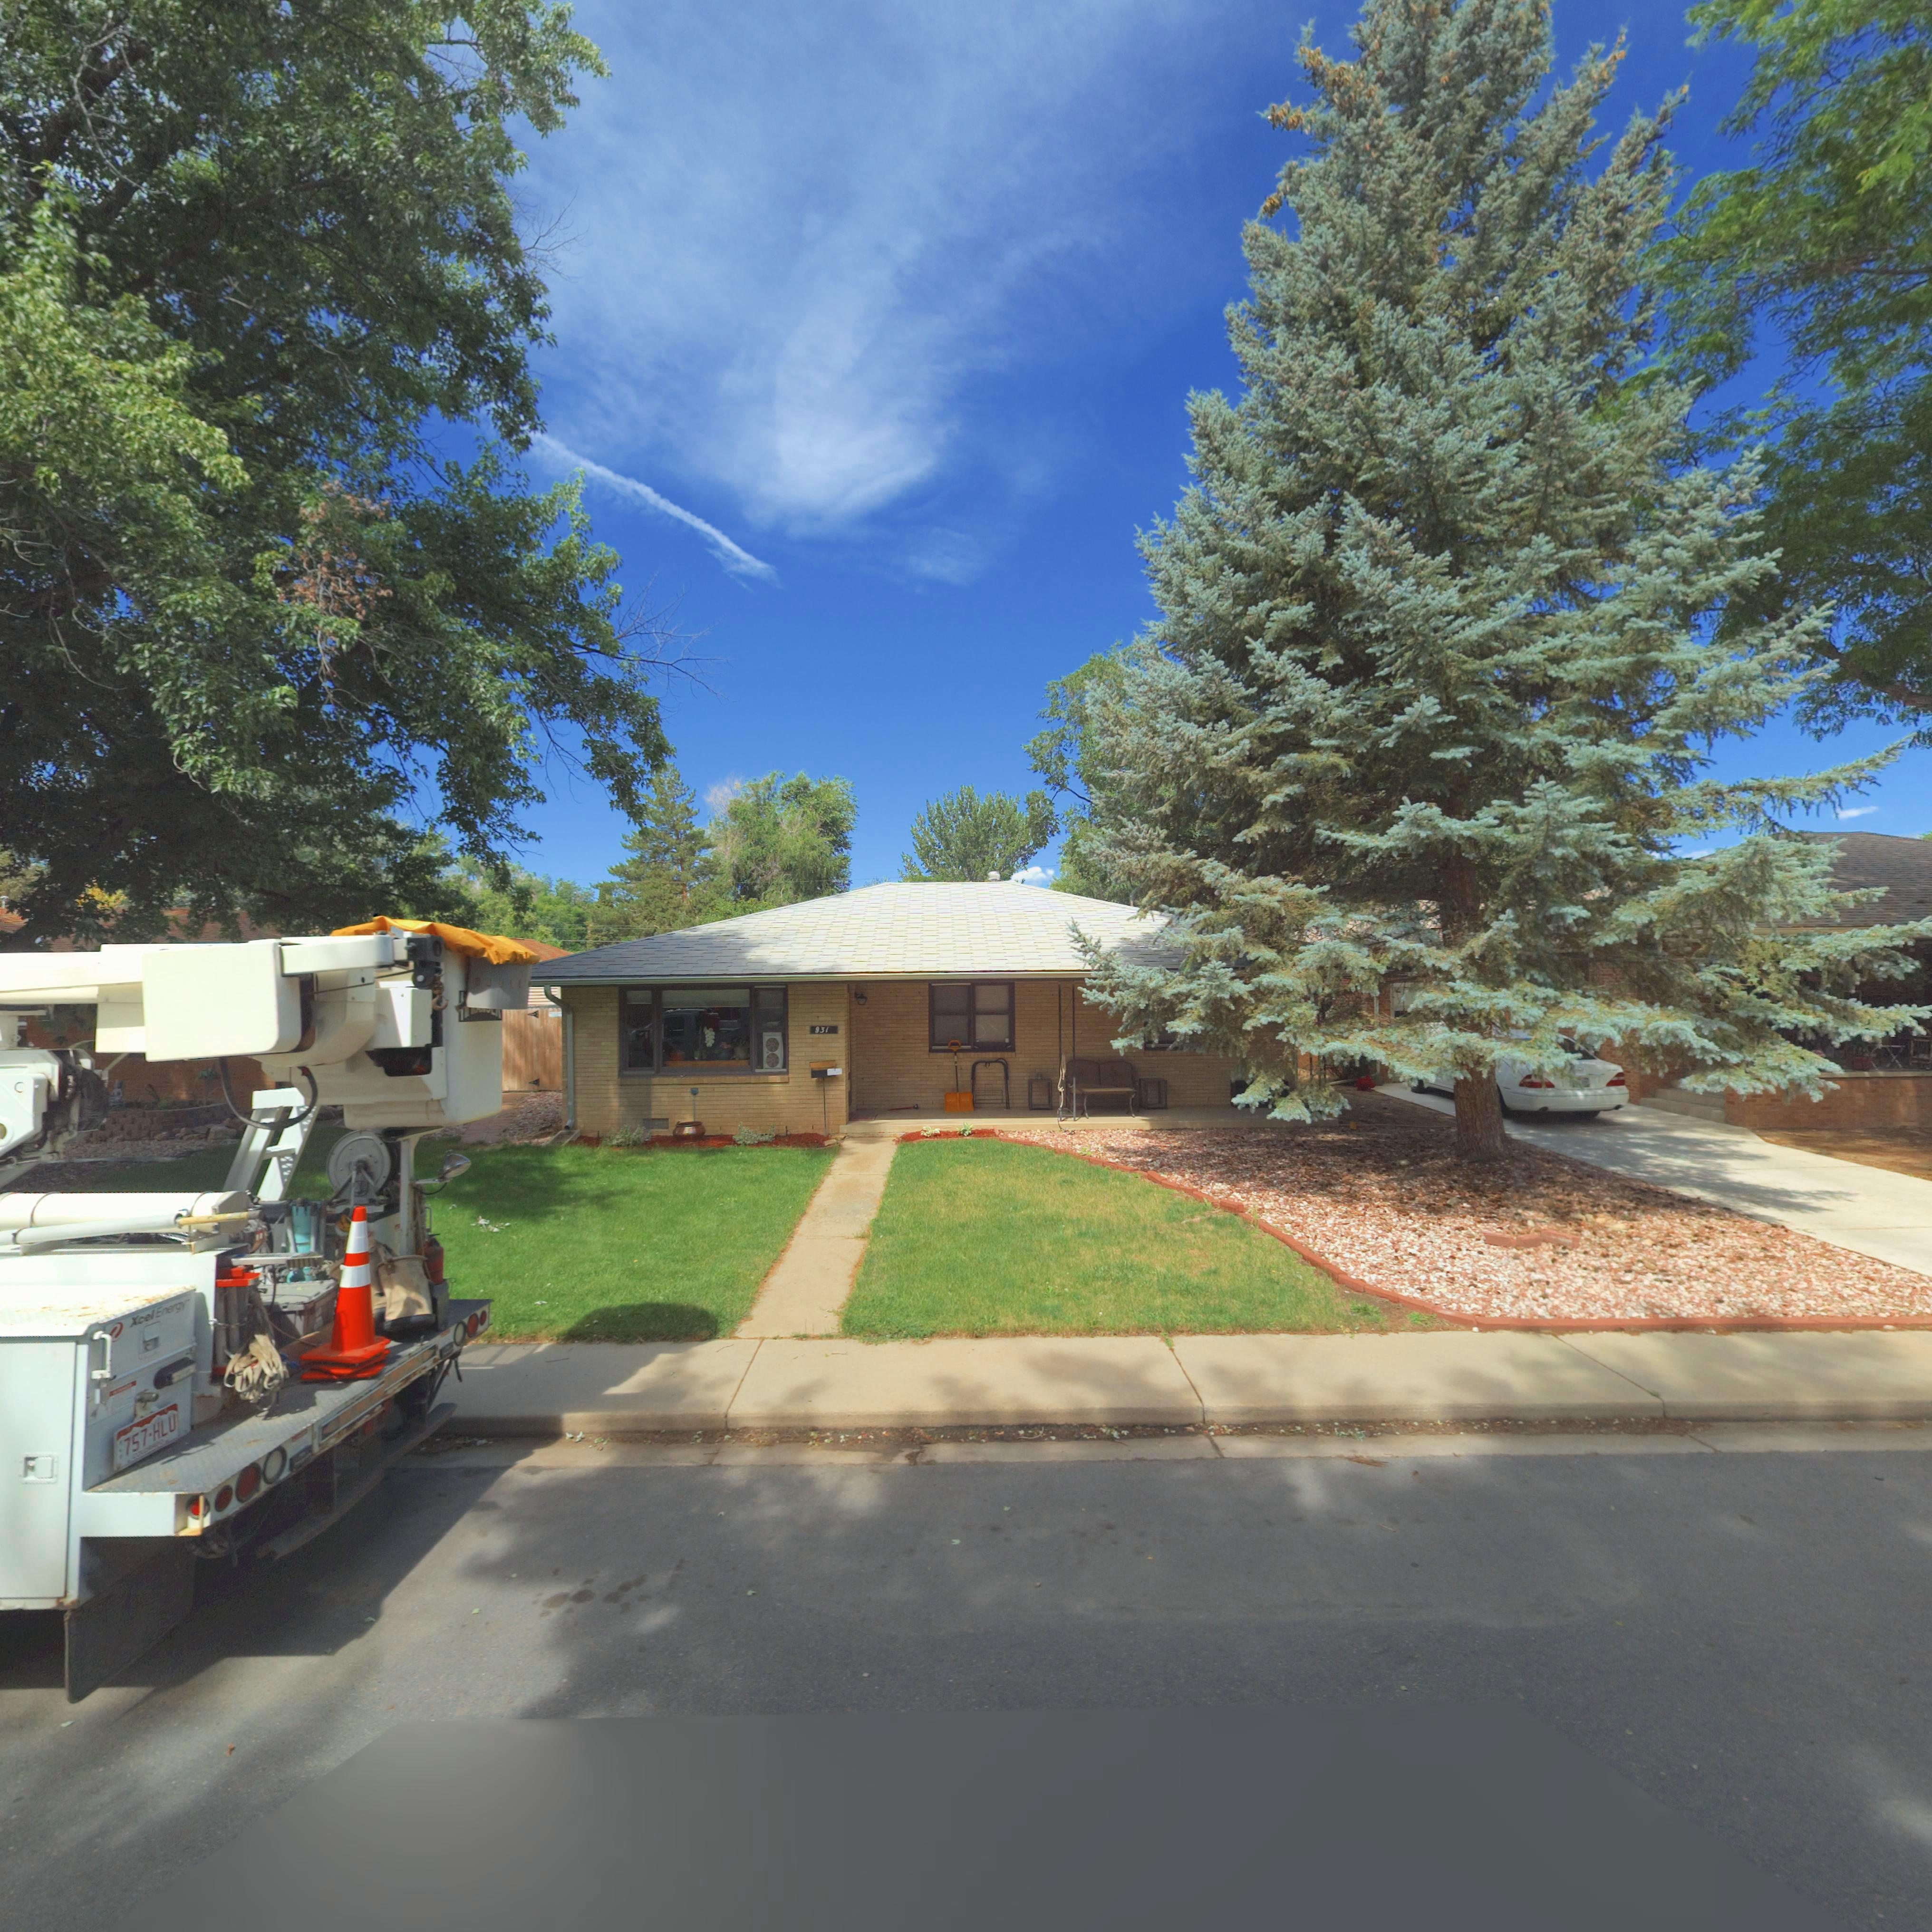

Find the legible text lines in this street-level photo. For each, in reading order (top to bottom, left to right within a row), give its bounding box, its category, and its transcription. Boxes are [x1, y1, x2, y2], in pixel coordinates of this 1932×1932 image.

[814, 1025, 829, 1034] StreetName: 931